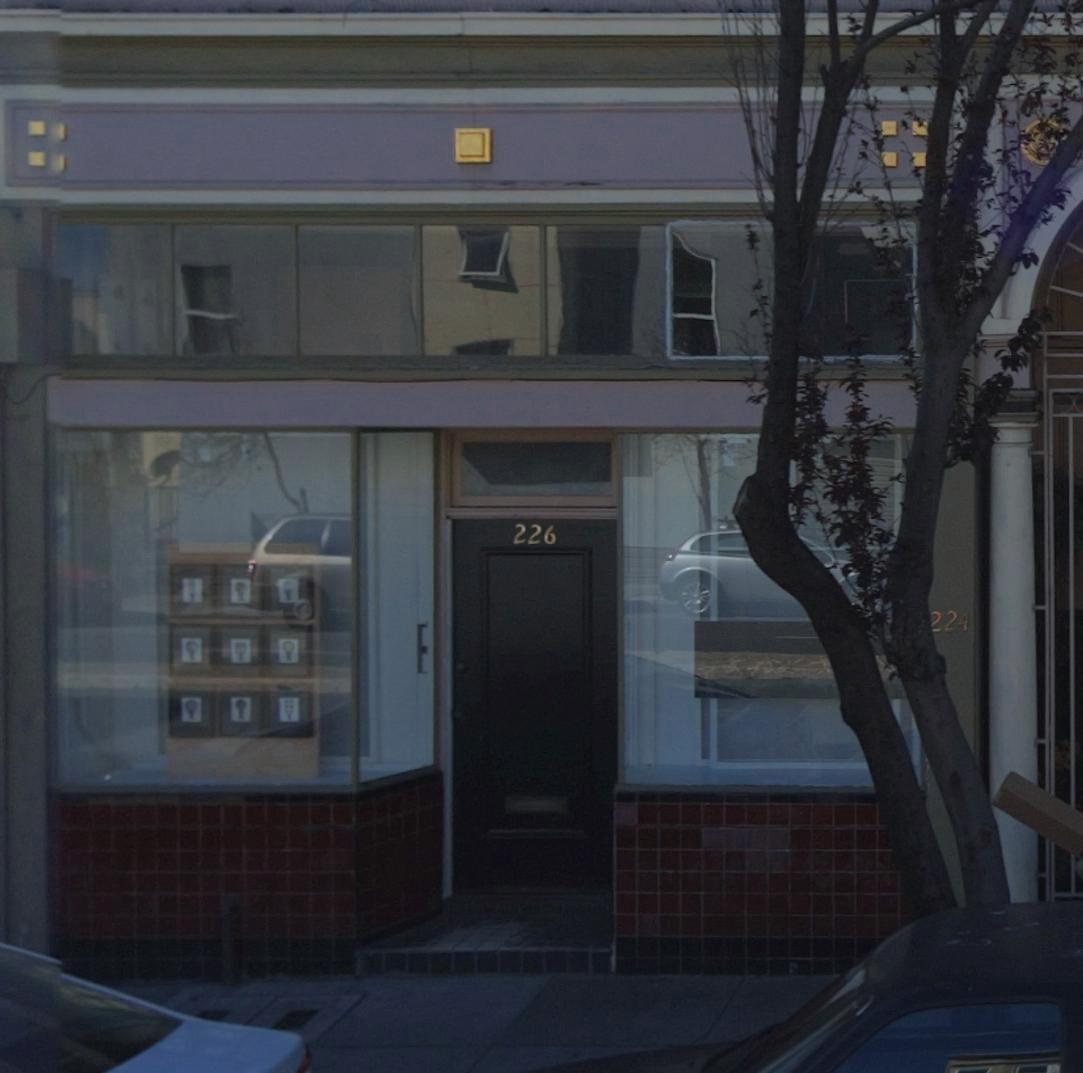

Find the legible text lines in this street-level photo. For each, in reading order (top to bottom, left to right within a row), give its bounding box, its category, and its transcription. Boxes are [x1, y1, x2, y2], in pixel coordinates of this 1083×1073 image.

[511, 522, 558, 546] StreetNumber: 226
[928, 609, 972, 634] StreetNumber: *24